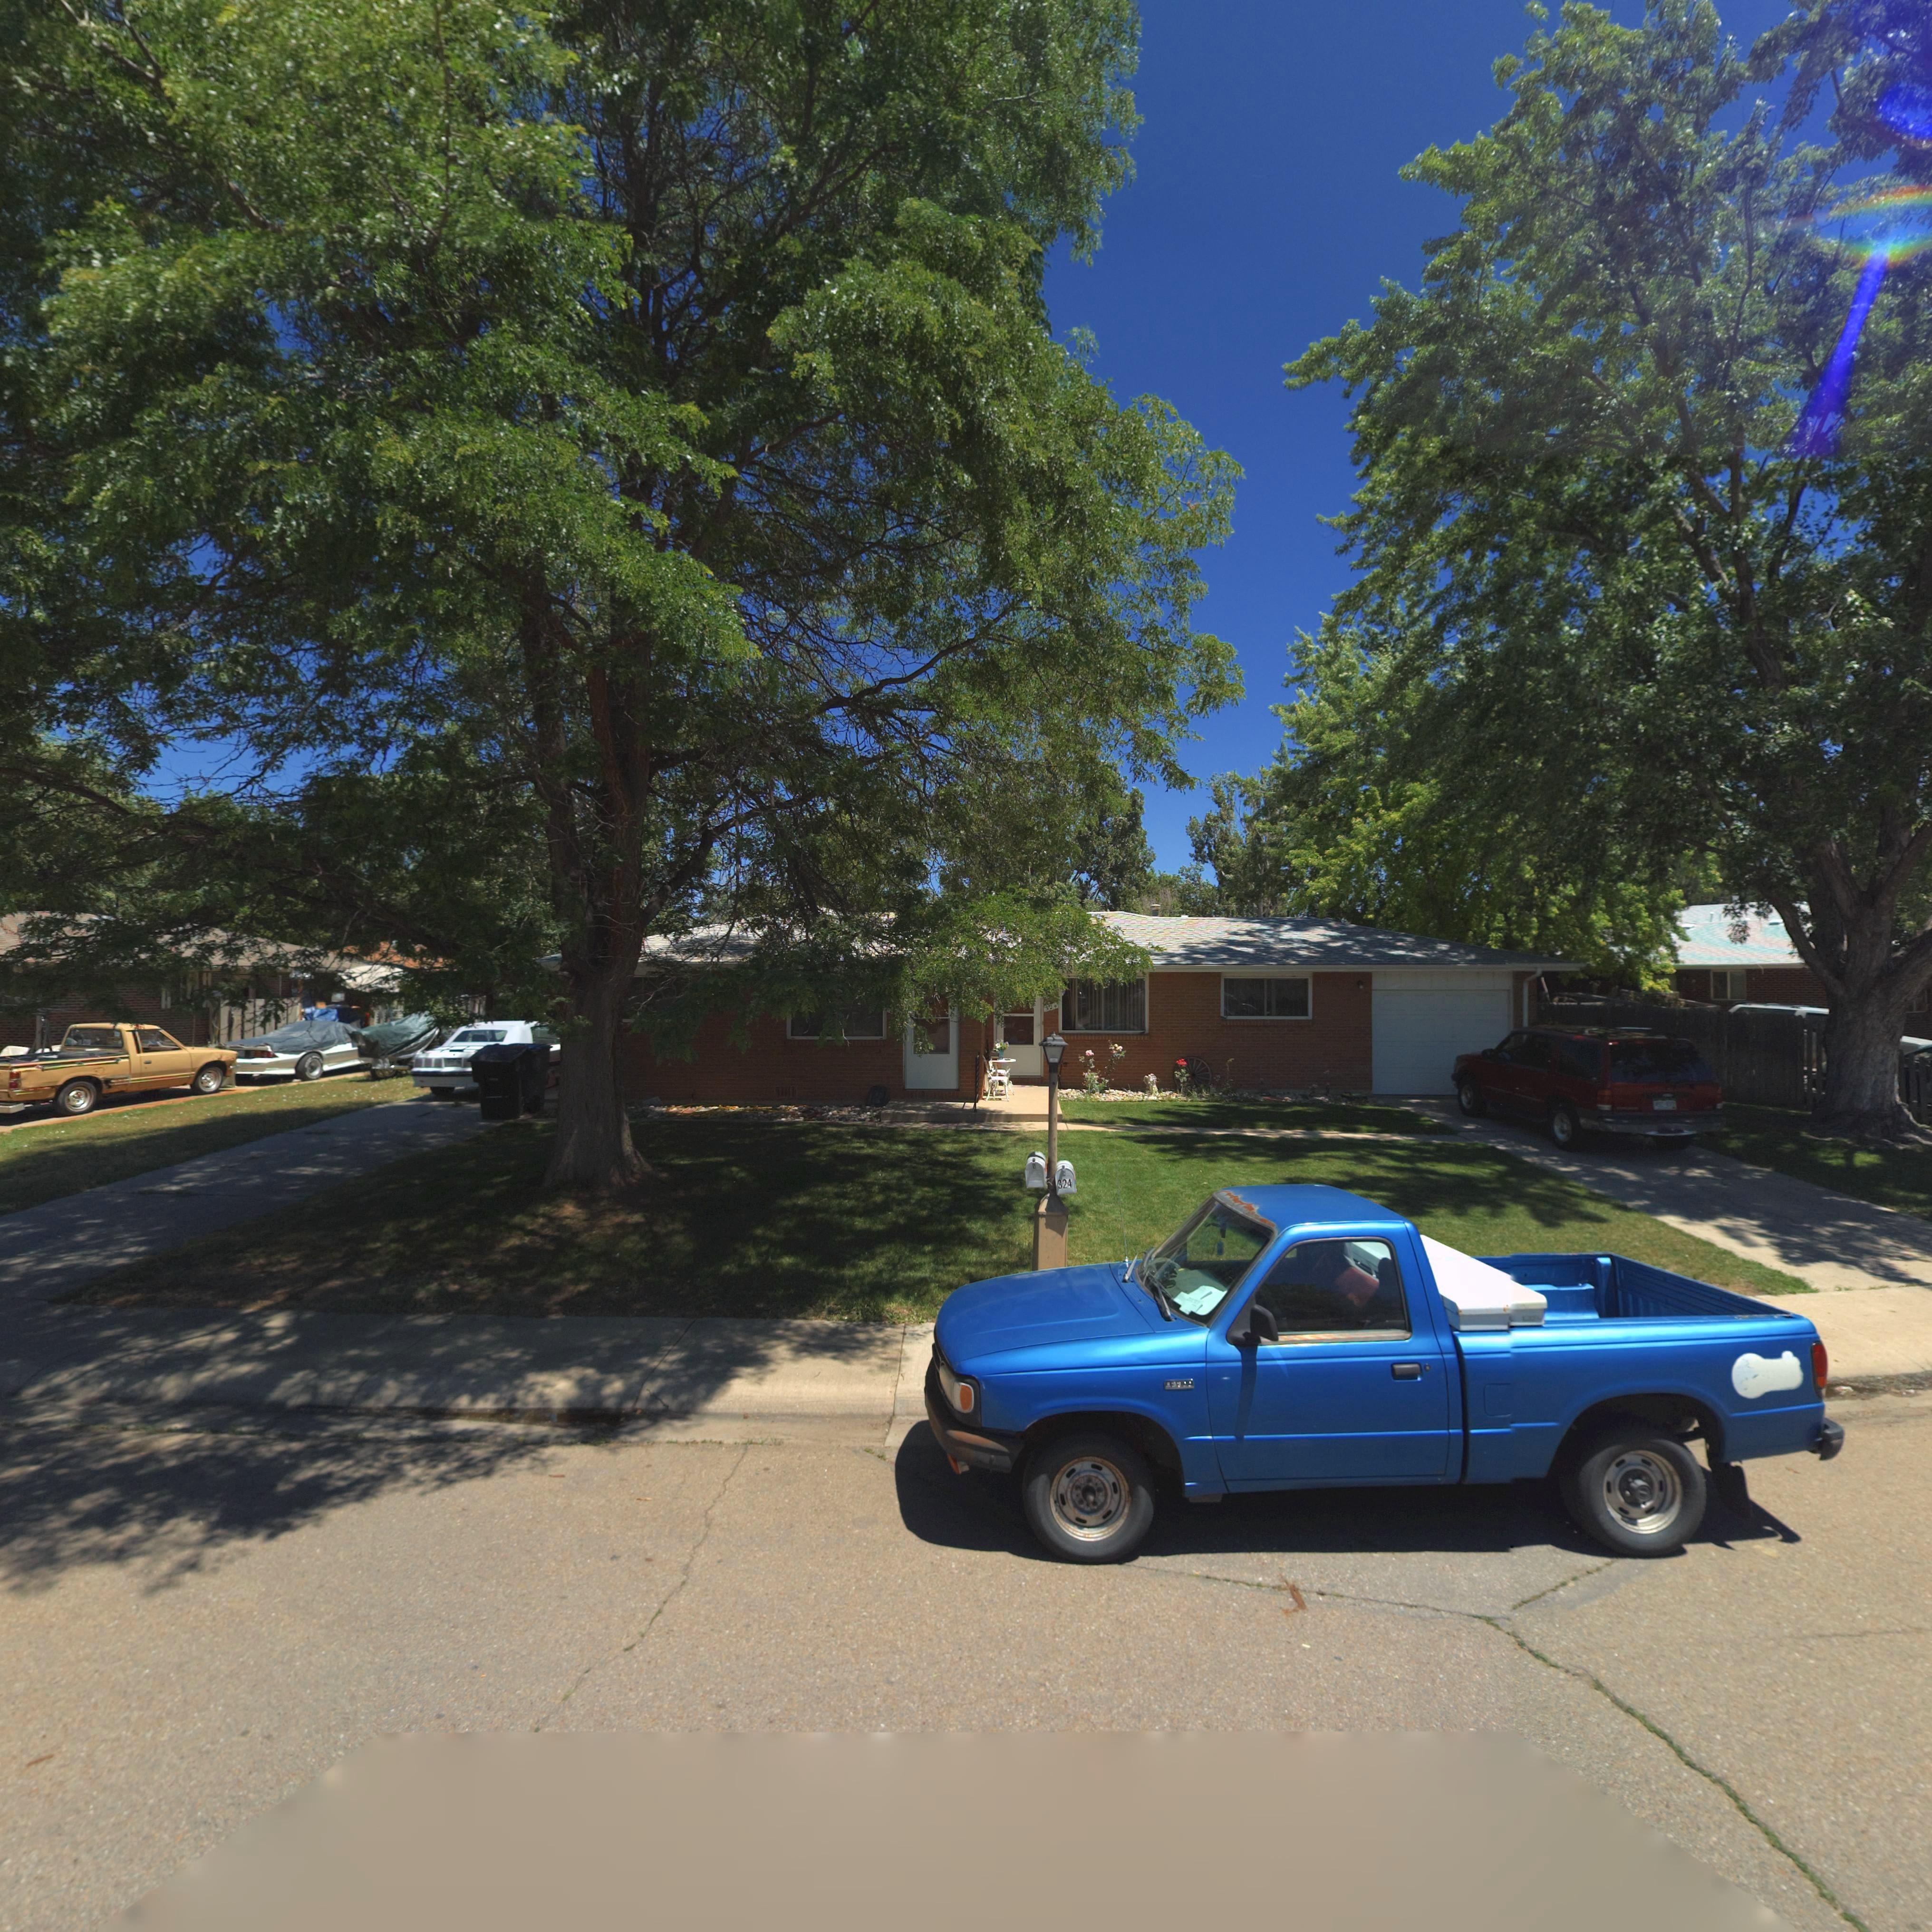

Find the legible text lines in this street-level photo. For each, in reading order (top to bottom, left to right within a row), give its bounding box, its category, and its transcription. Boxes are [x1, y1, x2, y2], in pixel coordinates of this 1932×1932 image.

[1044, 1003, 1057, 1011] StreetNumber: 32*
[1057, 1178, 1072, 1189] StreetNumber: 324